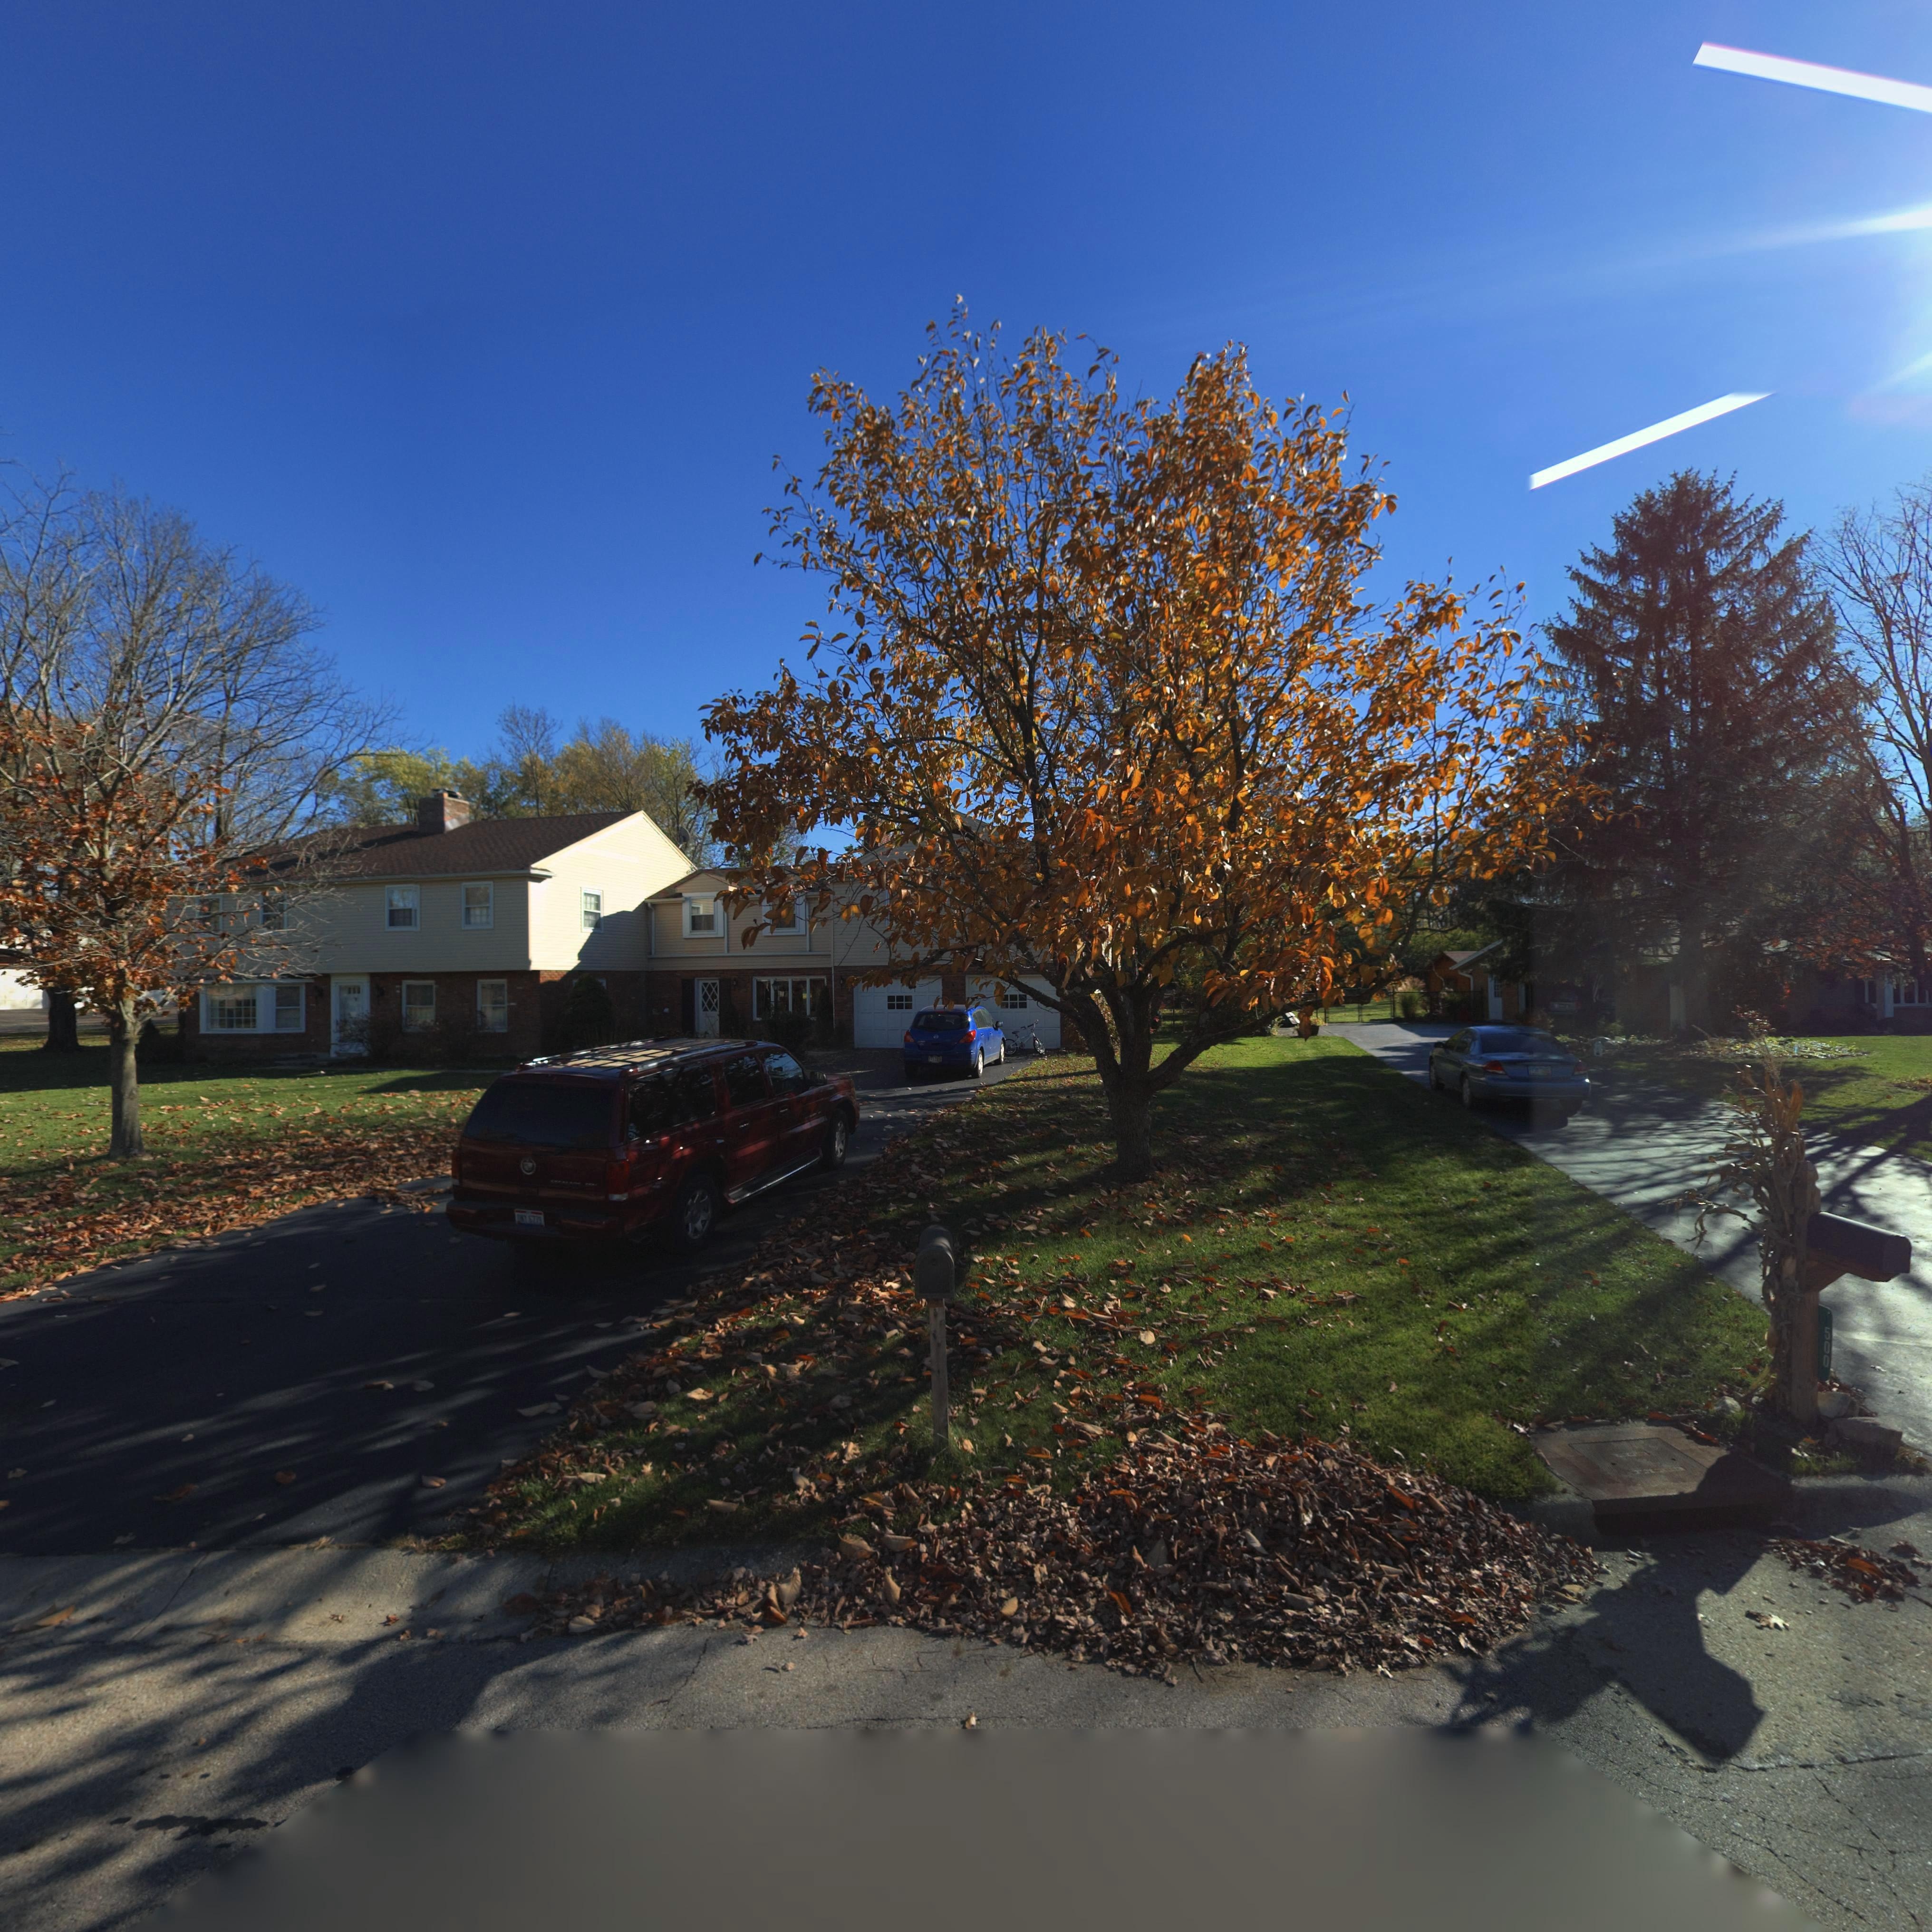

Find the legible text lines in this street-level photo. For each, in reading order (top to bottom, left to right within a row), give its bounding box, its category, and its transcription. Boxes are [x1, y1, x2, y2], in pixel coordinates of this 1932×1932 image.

[516, 1213, 543, 1226] StreetNumber: ****6779
[1822, 1324, 1832, 1369] StreetNumber: 500